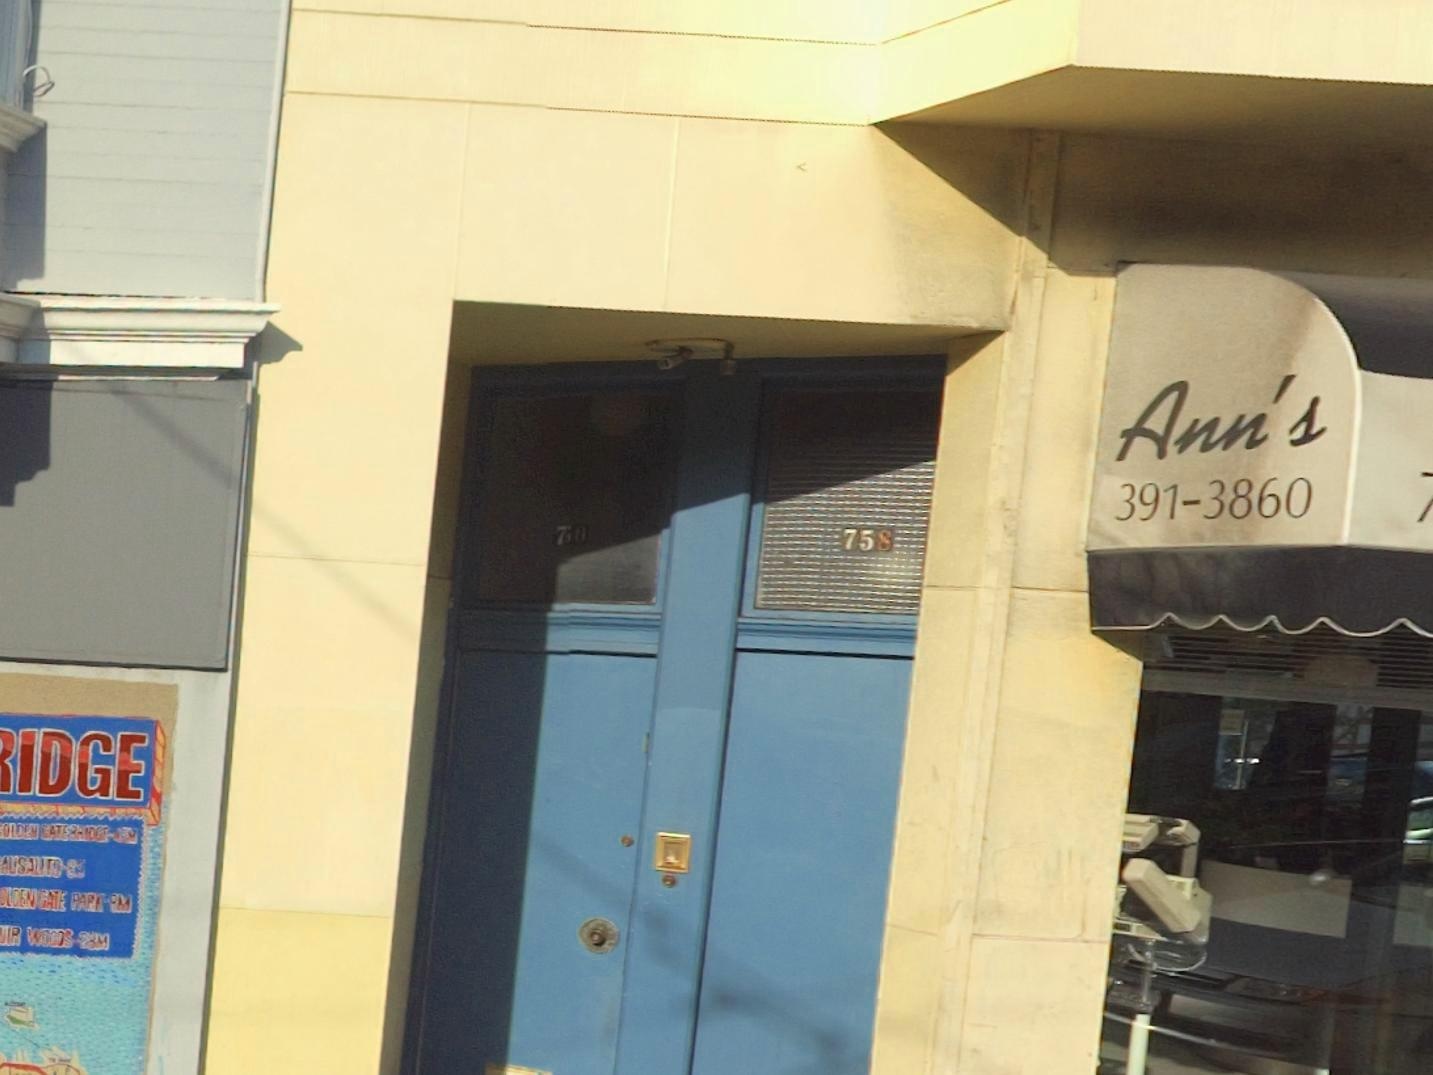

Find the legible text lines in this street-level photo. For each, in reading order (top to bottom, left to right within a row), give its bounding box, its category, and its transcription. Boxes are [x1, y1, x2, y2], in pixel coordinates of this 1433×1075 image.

[1107, 372, 1330, 462] BusinessName: Ann's
[1114, 474, 1314, 524] None: 391-3860
[552, 519, 591, 549] StreetNumber: 7**
[843, 526, 893, 553] StreetNumber: 758
[14, 725, 150, 804] None: IDGE
[1, 821, 108, 844] None: OLDEN GATE BRIDGE
[0, 854, 64, 879] None: AUSAUTO
[11, 885, 135, 916] None: DEN GATE PARK PM
[25, 924, 111, 952] None: WOODS 28M